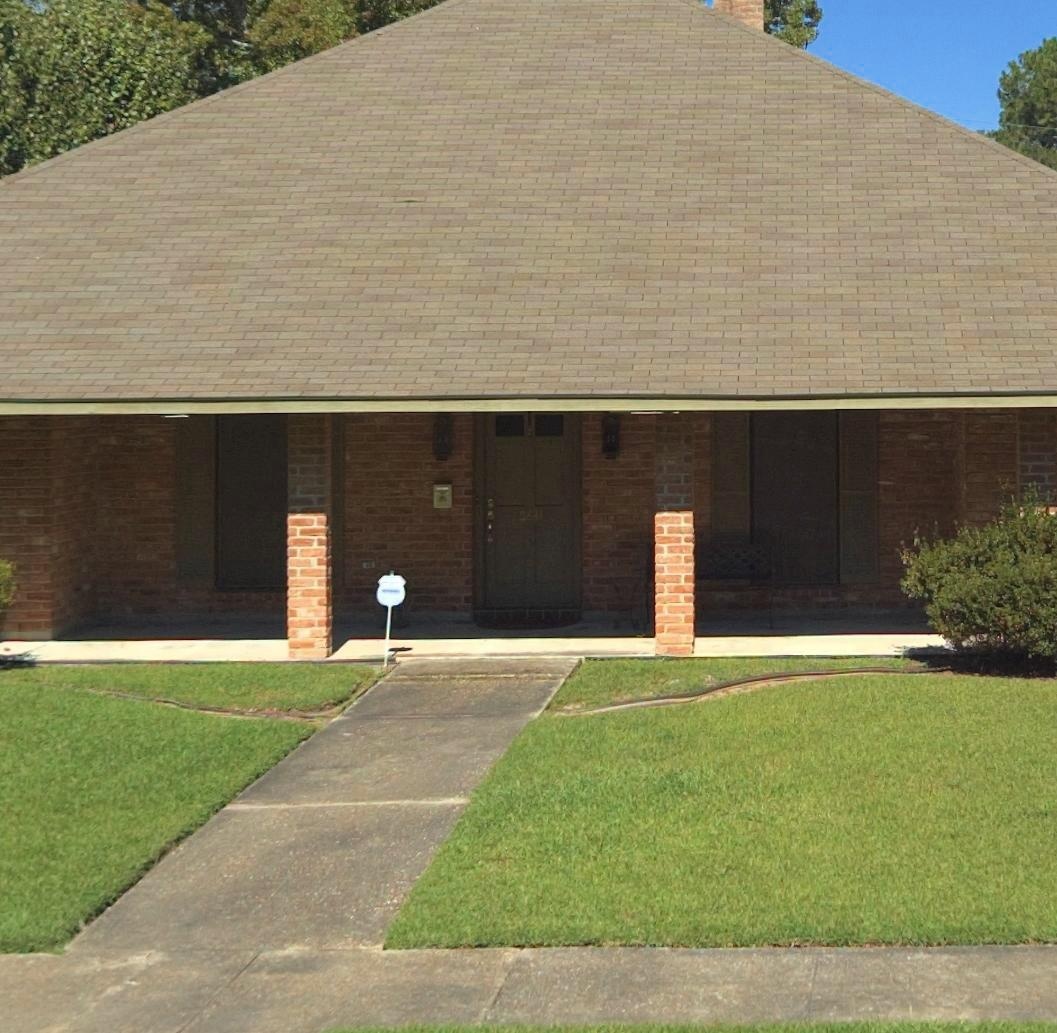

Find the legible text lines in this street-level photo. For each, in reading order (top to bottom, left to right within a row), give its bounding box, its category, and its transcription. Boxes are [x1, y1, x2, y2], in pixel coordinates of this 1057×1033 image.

[506, 506, 544, 524] StreetNumber: *0841